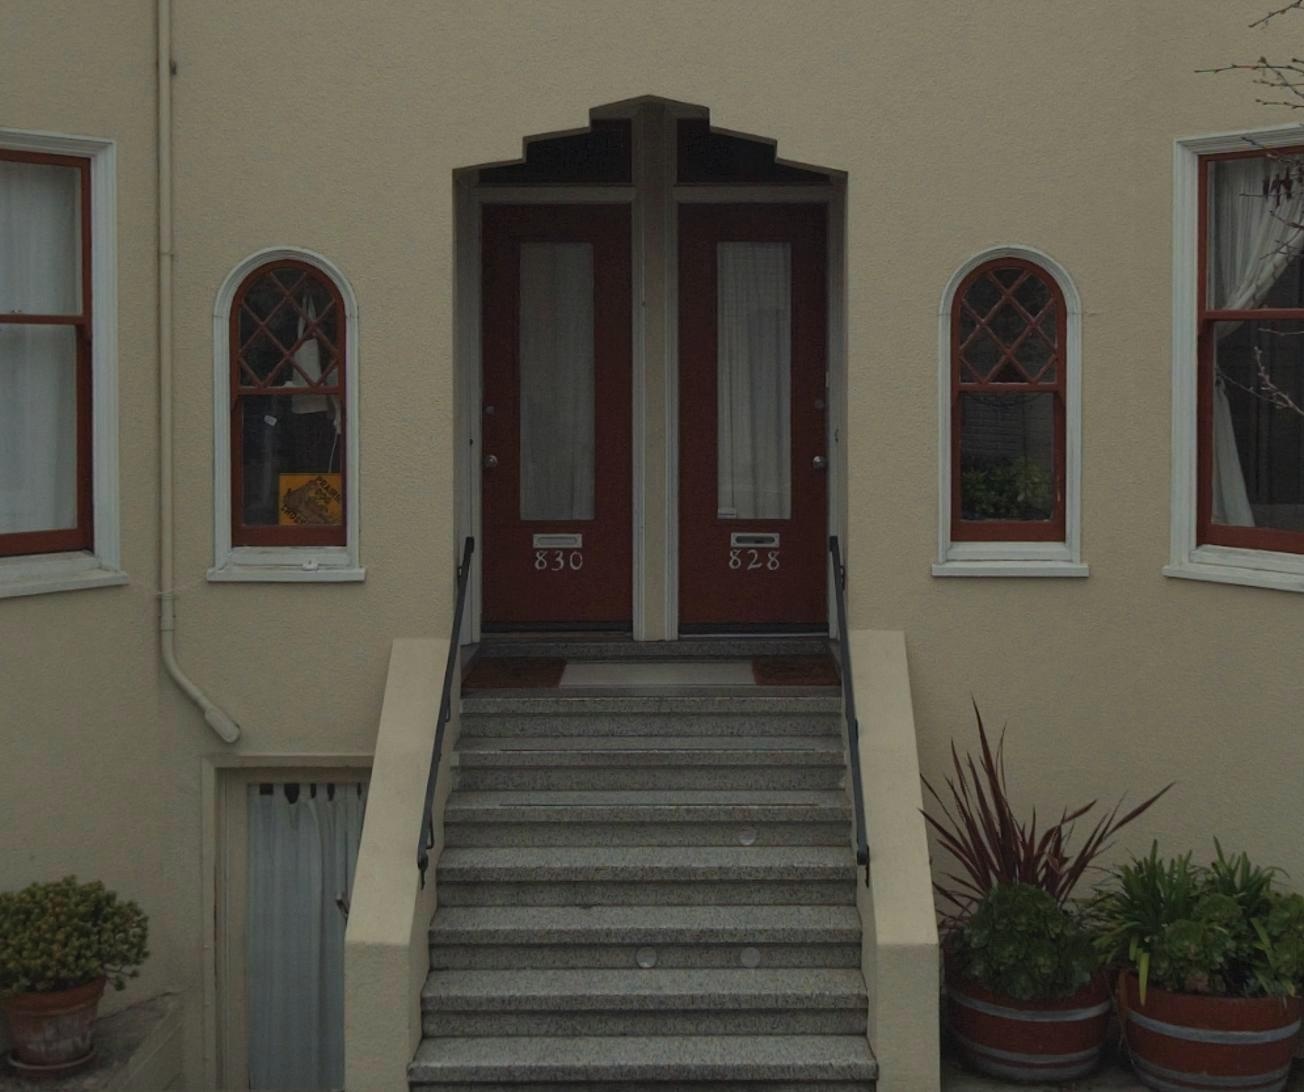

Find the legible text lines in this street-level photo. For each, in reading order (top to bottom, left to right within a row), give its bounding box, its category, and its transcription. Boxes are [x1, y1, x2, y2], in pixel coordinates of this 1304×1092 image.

[313, 473, 343, 502] None: PRAIRI
[279, 502, 304, 526] None: CROS
[533, 548, 584, 573] StreetNumber: 830
[727, 547, 781, 572] StreetNumber: 828